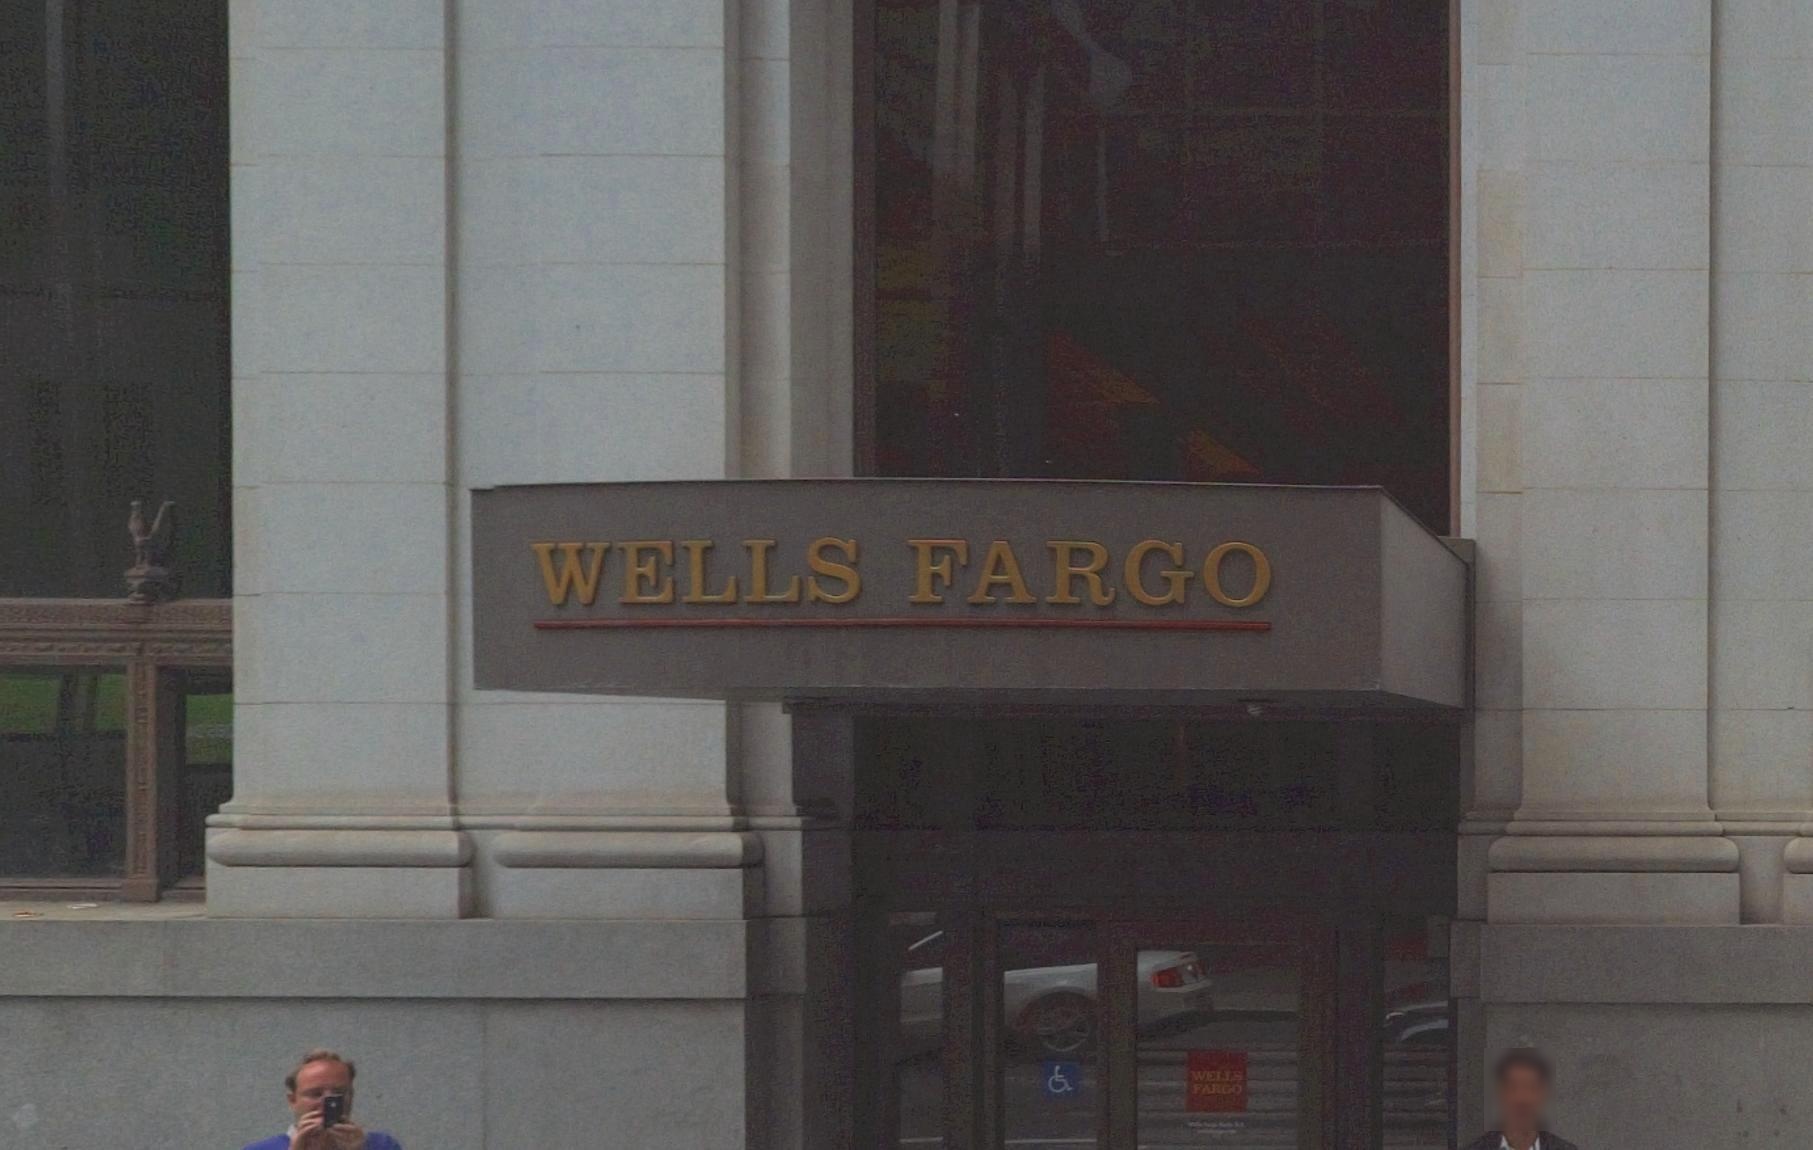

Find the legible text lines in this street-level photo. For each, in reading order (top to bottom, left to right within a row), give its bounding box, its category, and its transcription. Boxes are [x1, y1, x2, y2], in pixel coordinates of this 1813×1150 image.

[524, 532, 1279, 613] BusinessName: WELLS FARGO
[1188, 1068, 1248, 1082] BusinessName: WELLS
[1189, 1081, 1246, 1096] BusinessName: FARGO